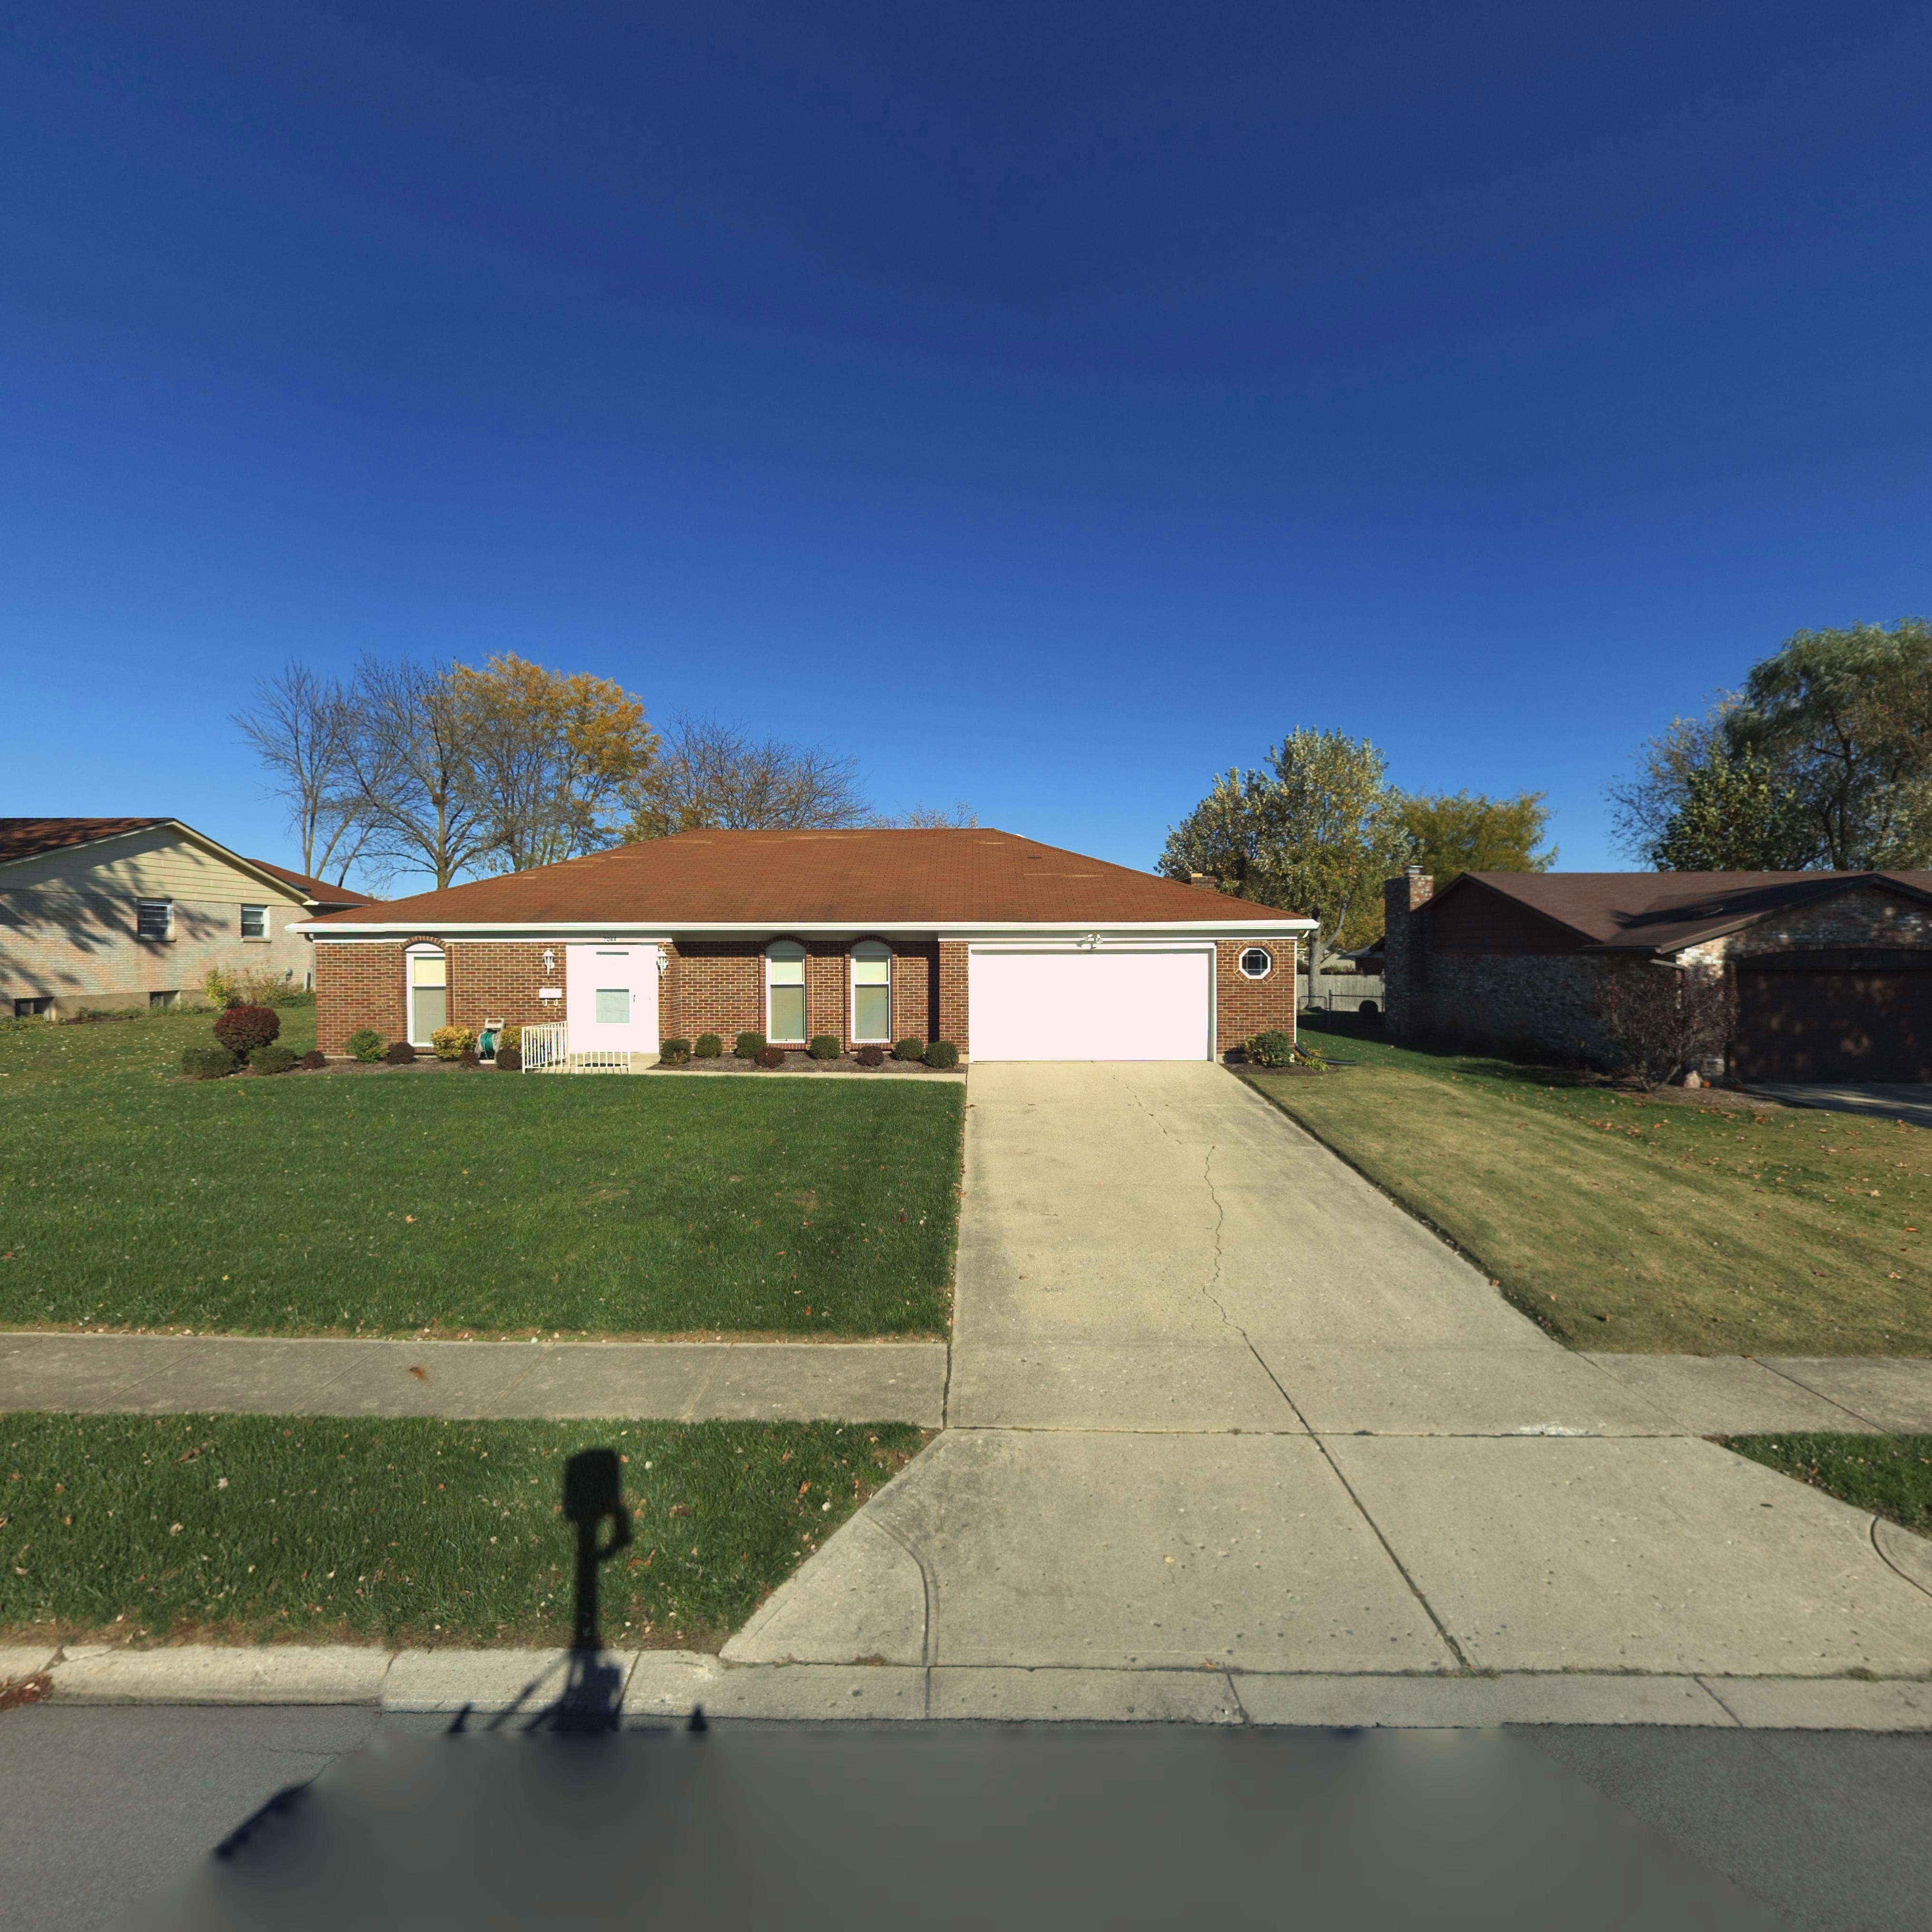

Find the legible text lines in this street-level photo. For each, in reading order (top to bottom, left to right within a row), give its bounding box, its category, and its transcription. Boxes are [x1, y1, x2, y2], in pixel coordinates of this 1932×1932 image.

[603, 937, 617, 942] StreetNumber: 7044
[1847, 952, 1879, 962] StreetNumber: 7042